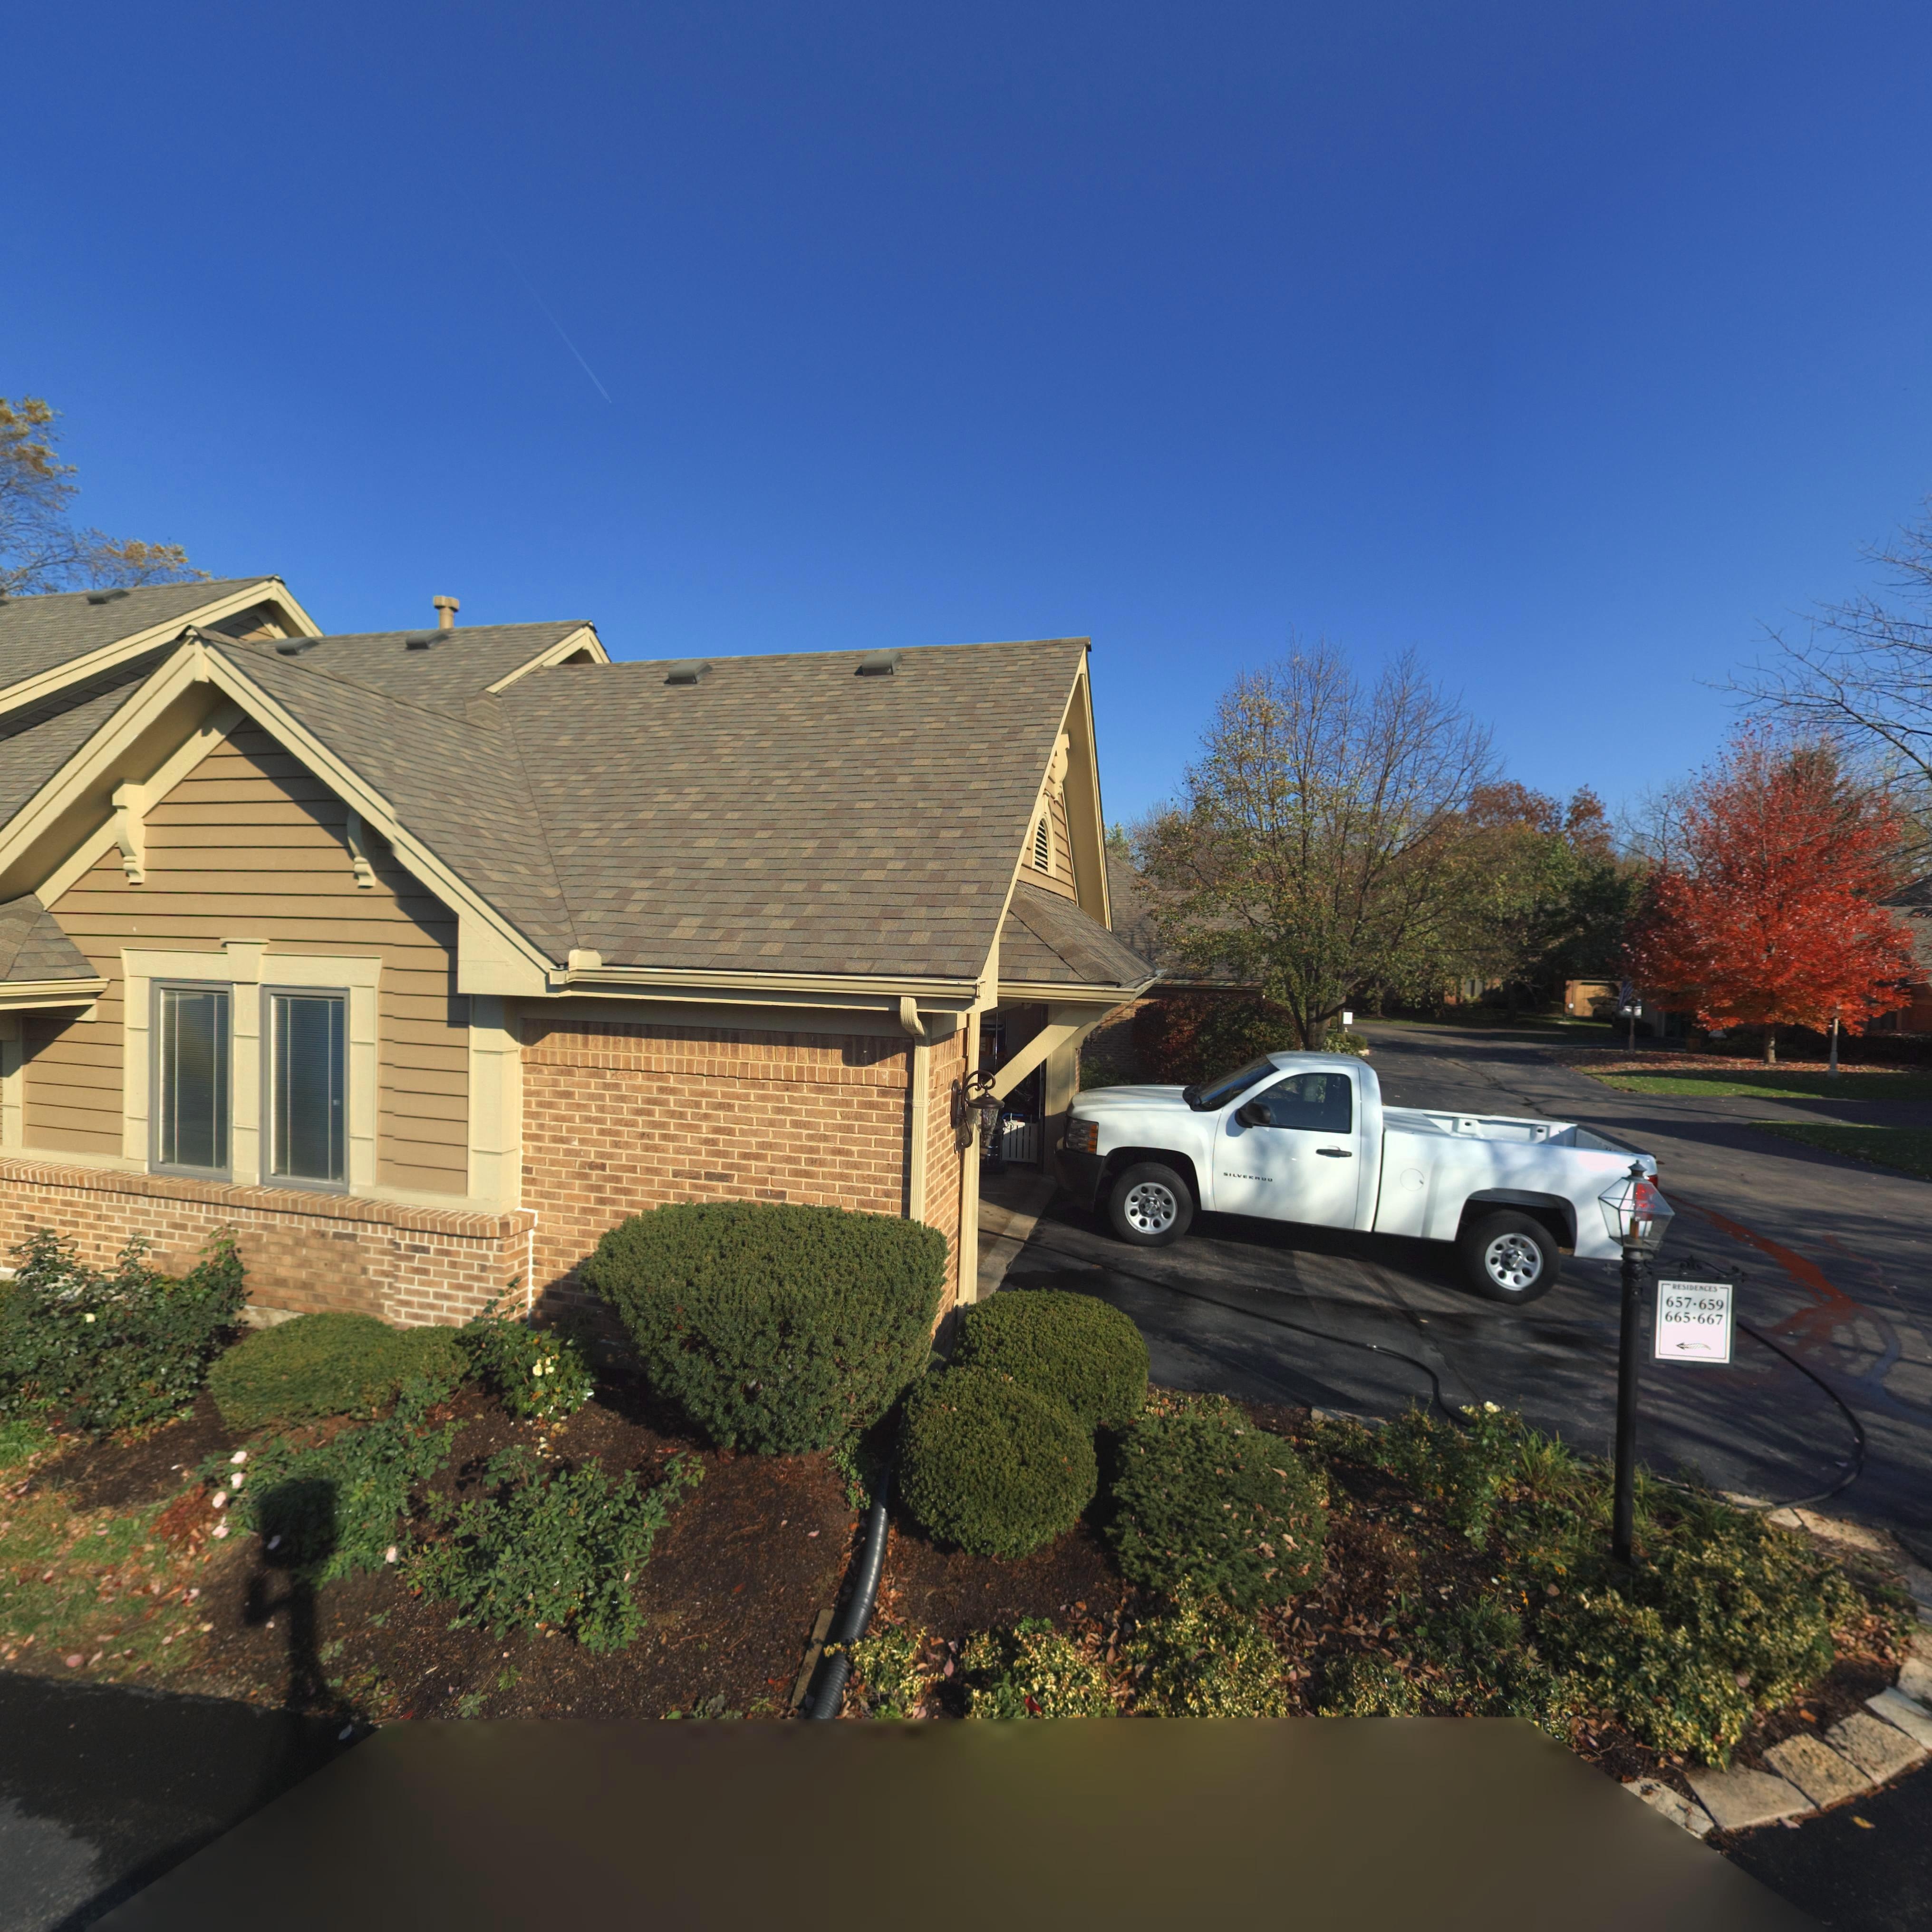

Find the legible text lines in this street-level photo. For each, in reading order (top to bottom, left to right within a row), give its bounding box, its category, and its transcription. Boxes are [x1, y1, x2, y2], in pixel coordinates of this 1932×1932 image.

[1664, 1294, 1694, 1310] StreetNumber: 657
[1698, 1296, 1725, 1312] StreetNumber: 659
[1663, 1310, 1692, 1325] StreetNumber: 665
[1697, 1312, 1725, 1327] StreetNumber: 667